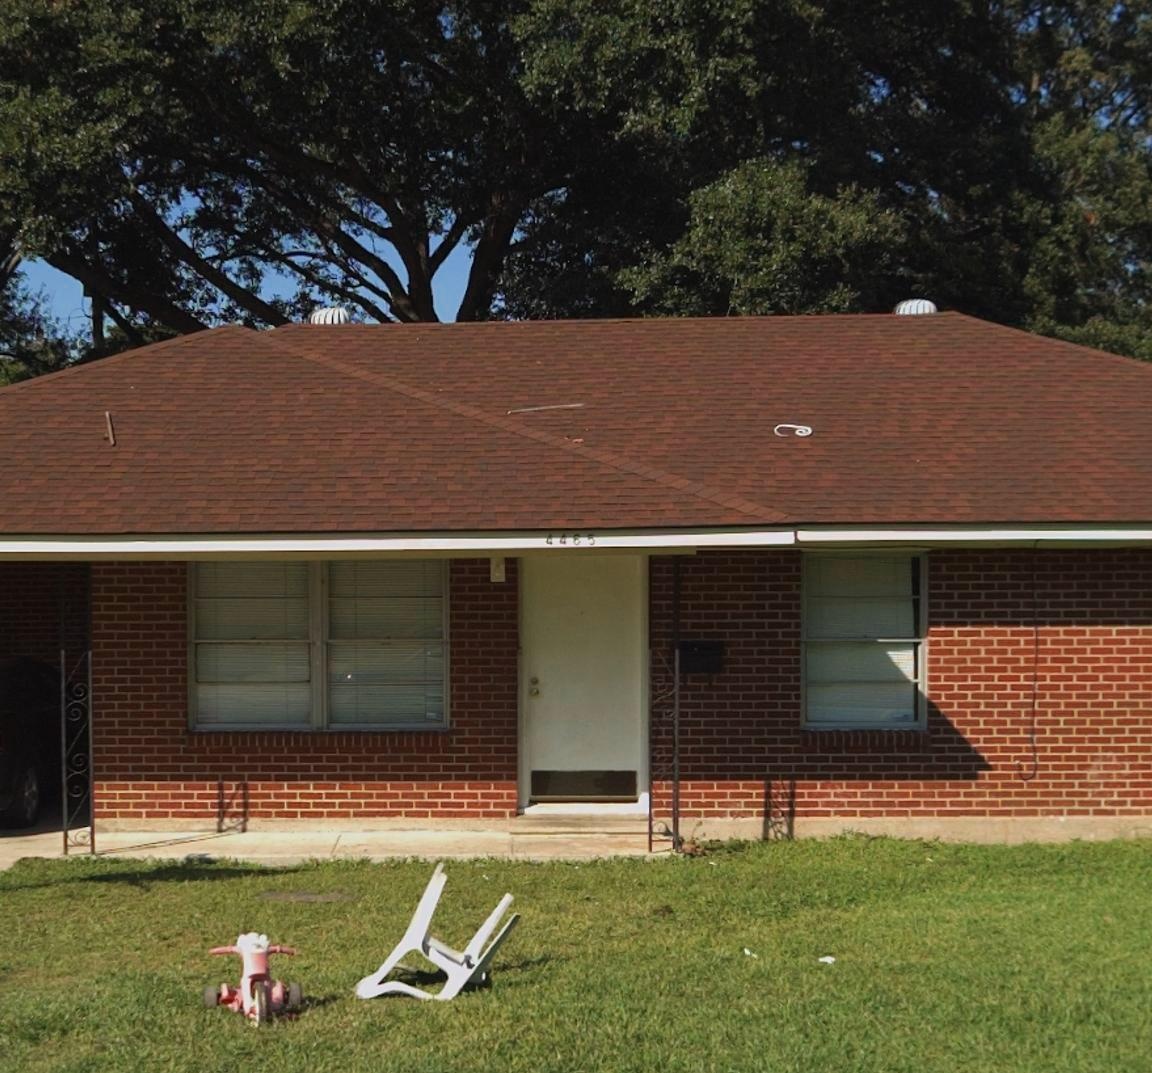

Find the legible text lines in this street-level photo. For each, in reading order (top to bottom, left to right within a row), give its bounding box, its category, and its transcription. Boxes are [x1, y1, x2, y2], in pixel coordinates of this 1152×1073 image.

[545, 532, 595, 546] StreetNumber: 4485